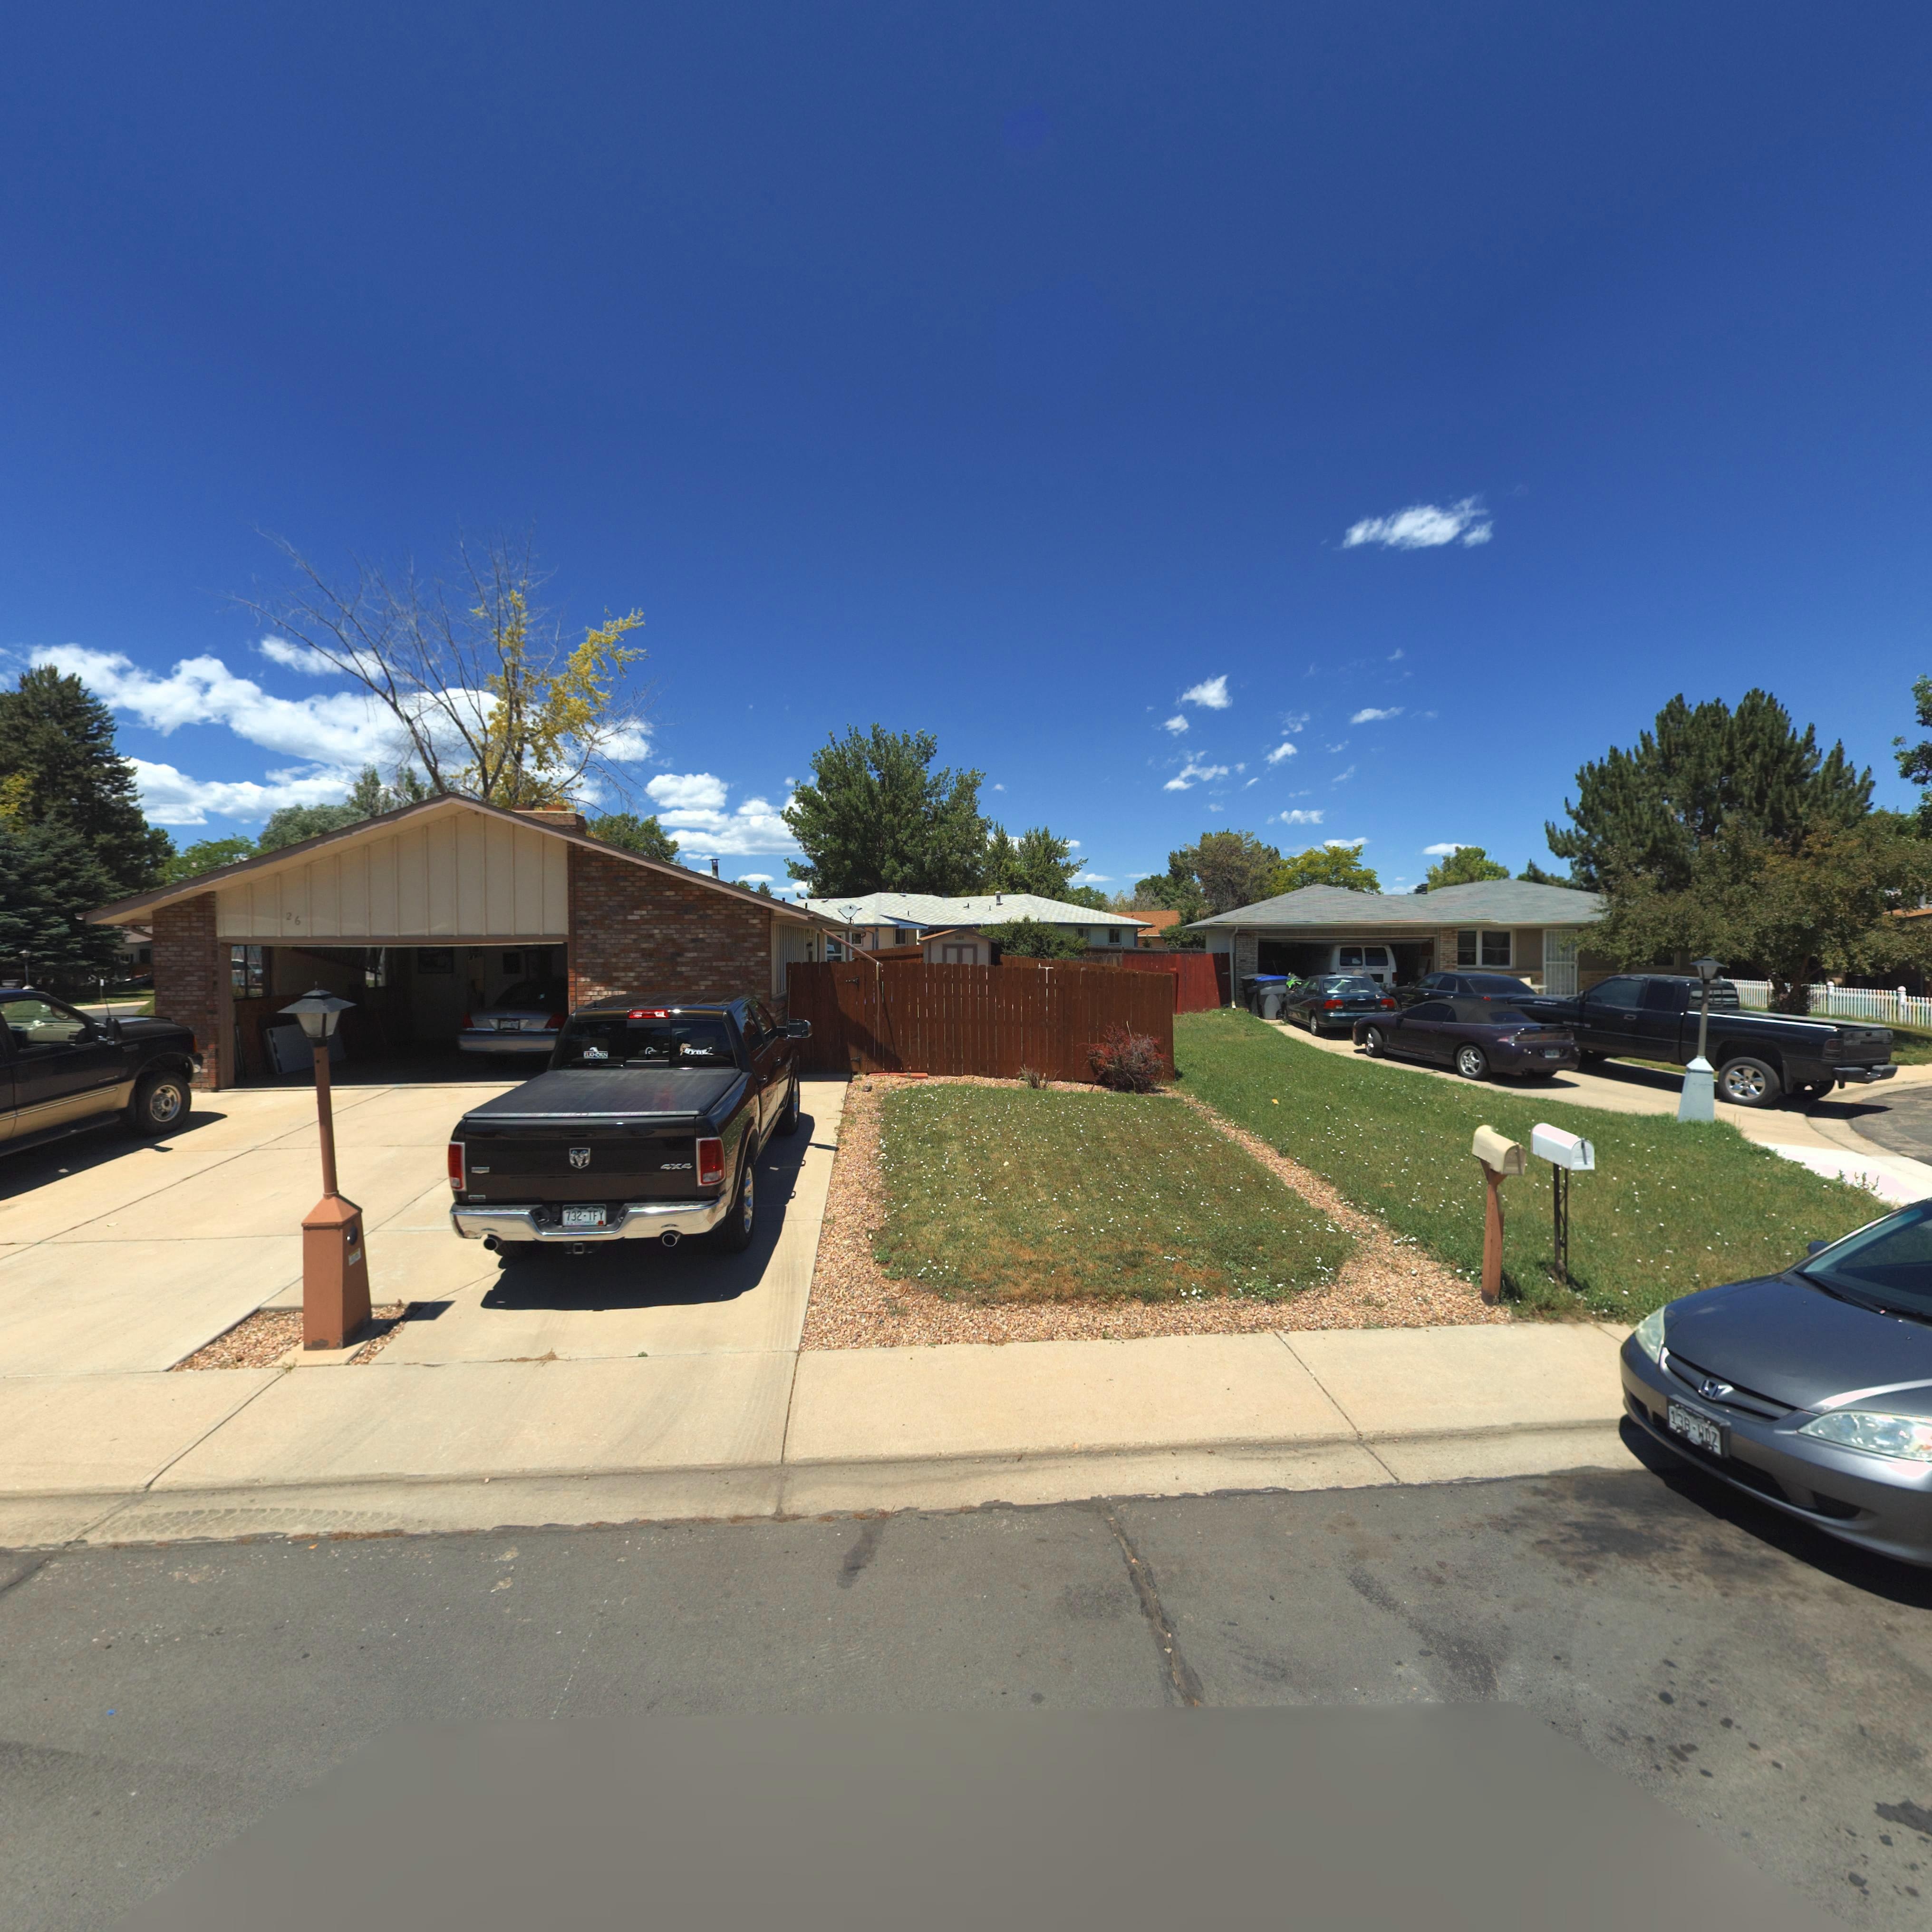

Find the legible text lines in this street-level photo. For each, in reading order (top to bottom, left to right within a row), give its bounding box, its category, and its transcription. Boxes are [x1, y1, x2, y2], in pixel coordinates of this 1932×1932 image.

[285, 912, 301, 926] StreetNumber: 26